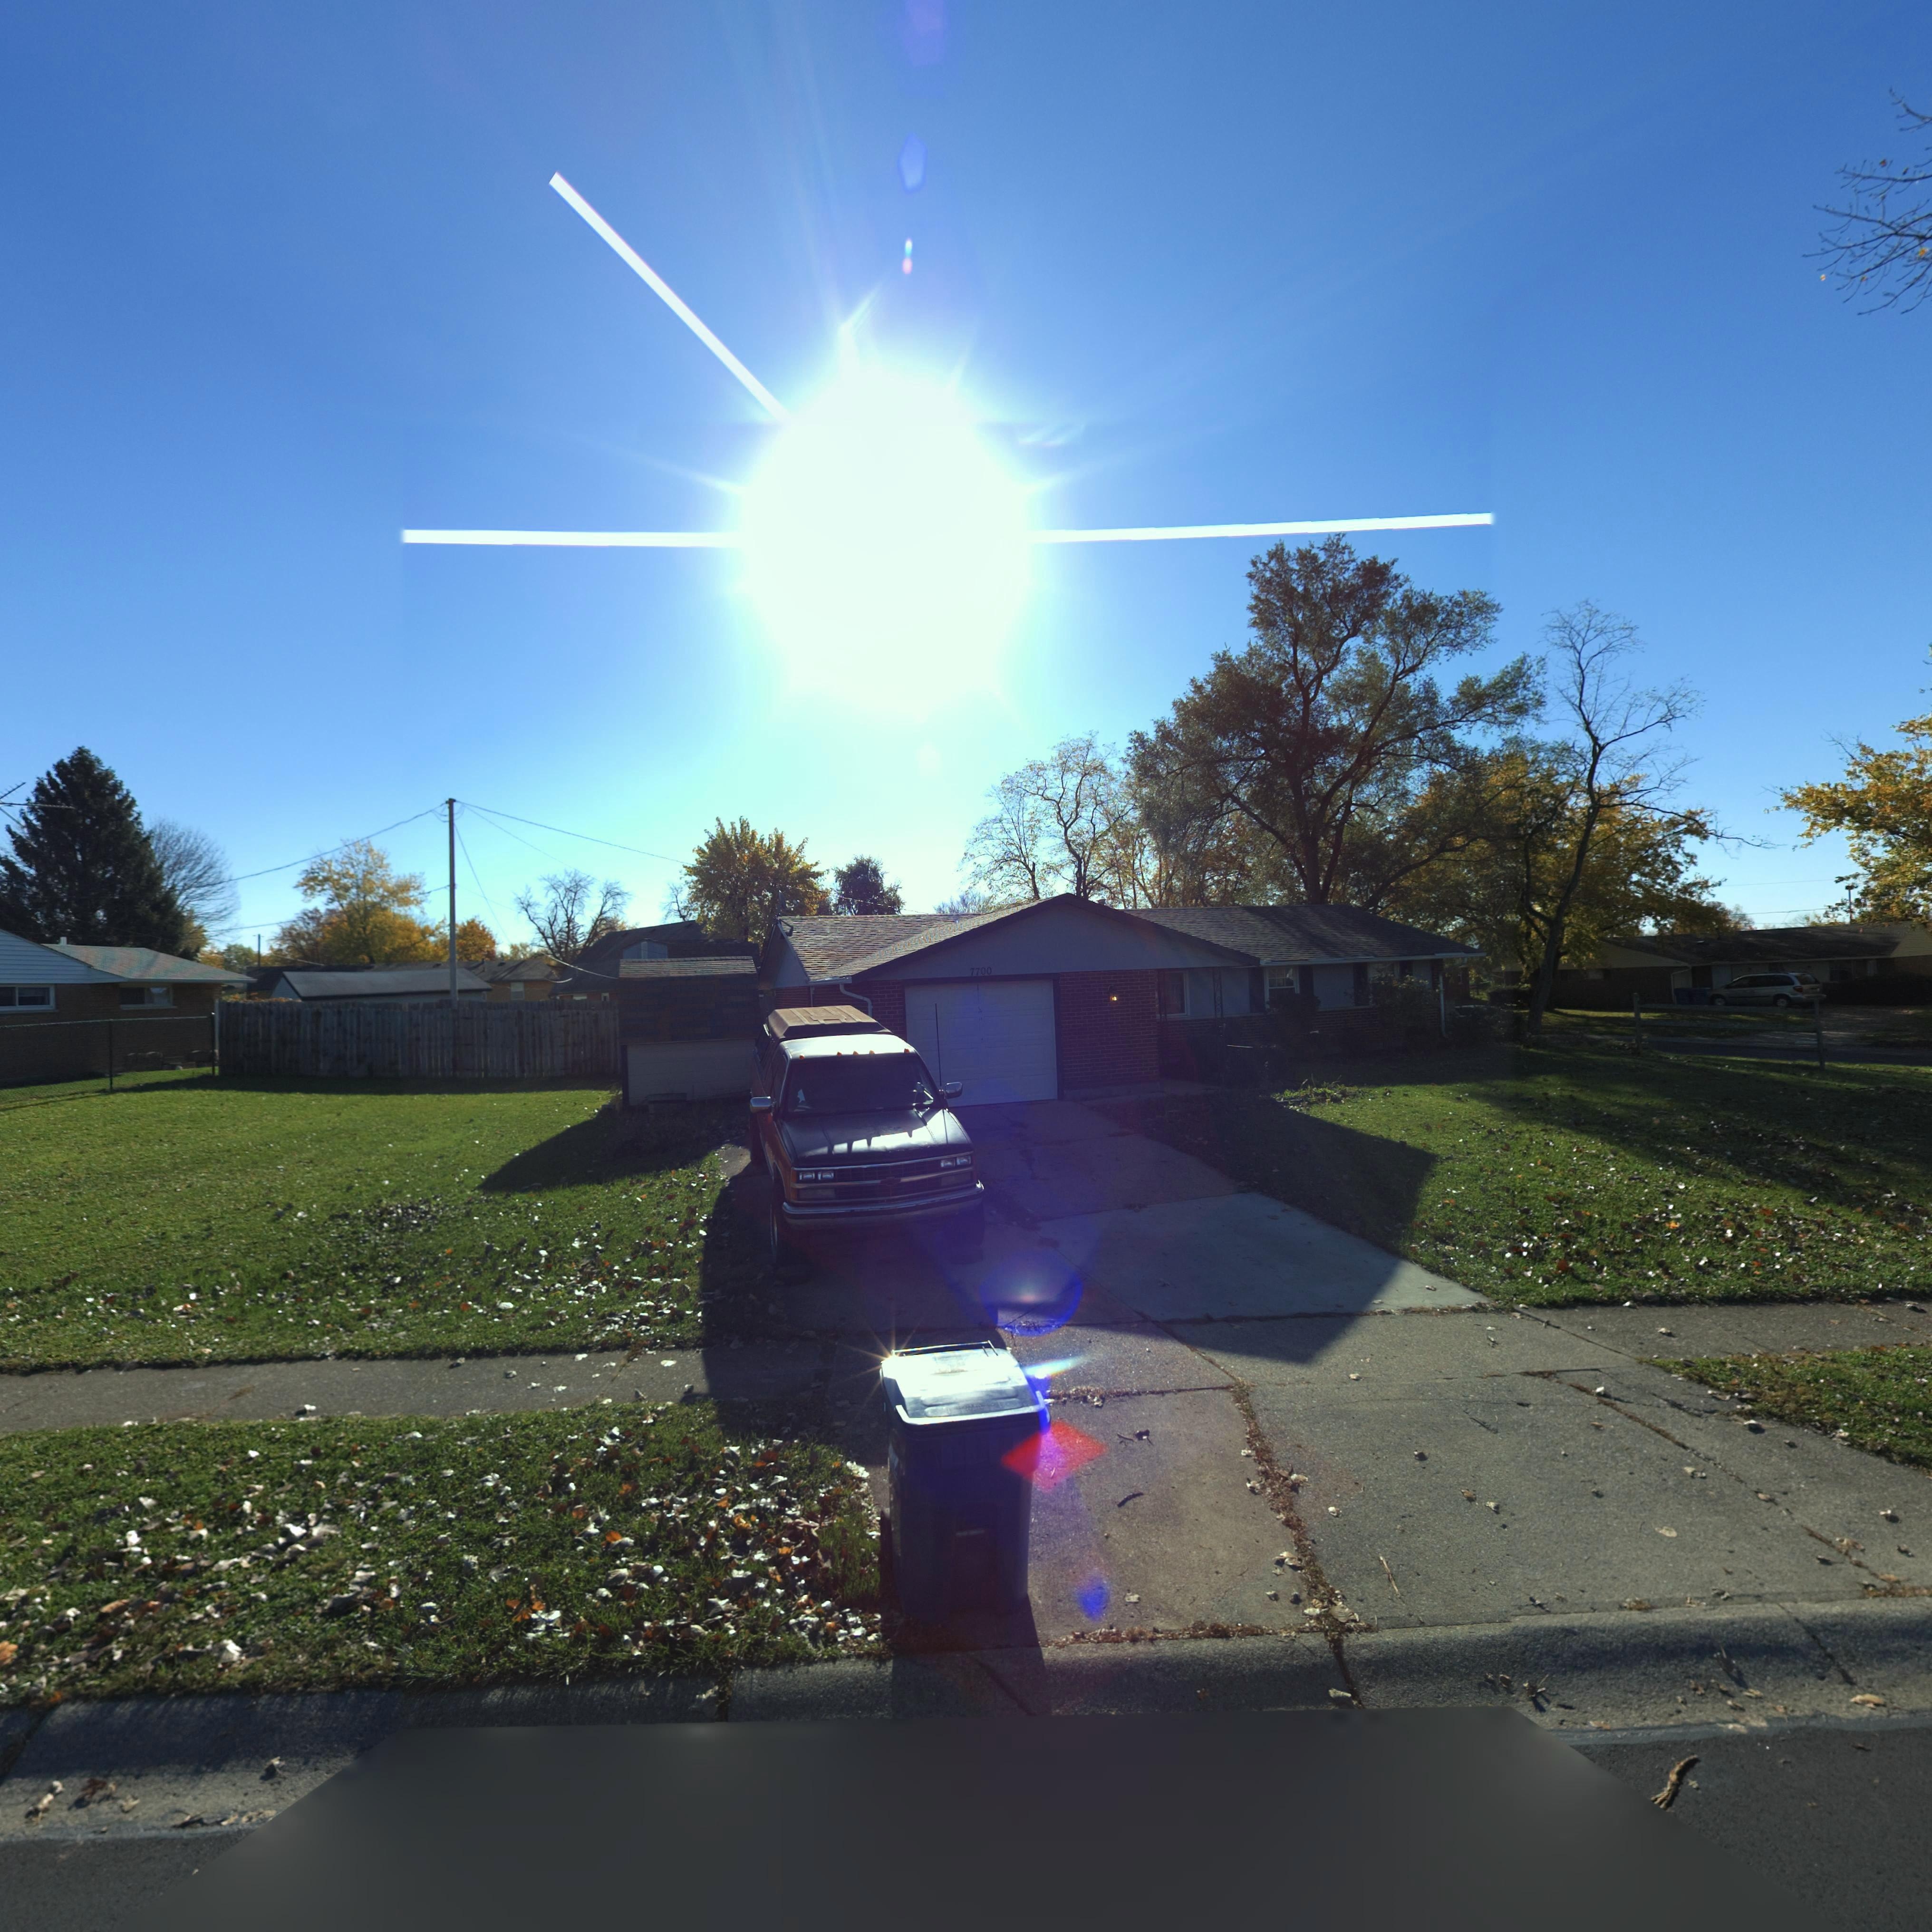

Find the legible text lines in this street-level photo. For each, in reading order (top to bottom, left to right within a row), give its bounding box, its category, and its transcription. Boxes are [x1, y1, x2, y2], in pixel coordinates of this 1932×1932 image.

[969, 966, 993, 977] StreetNumber: 7700